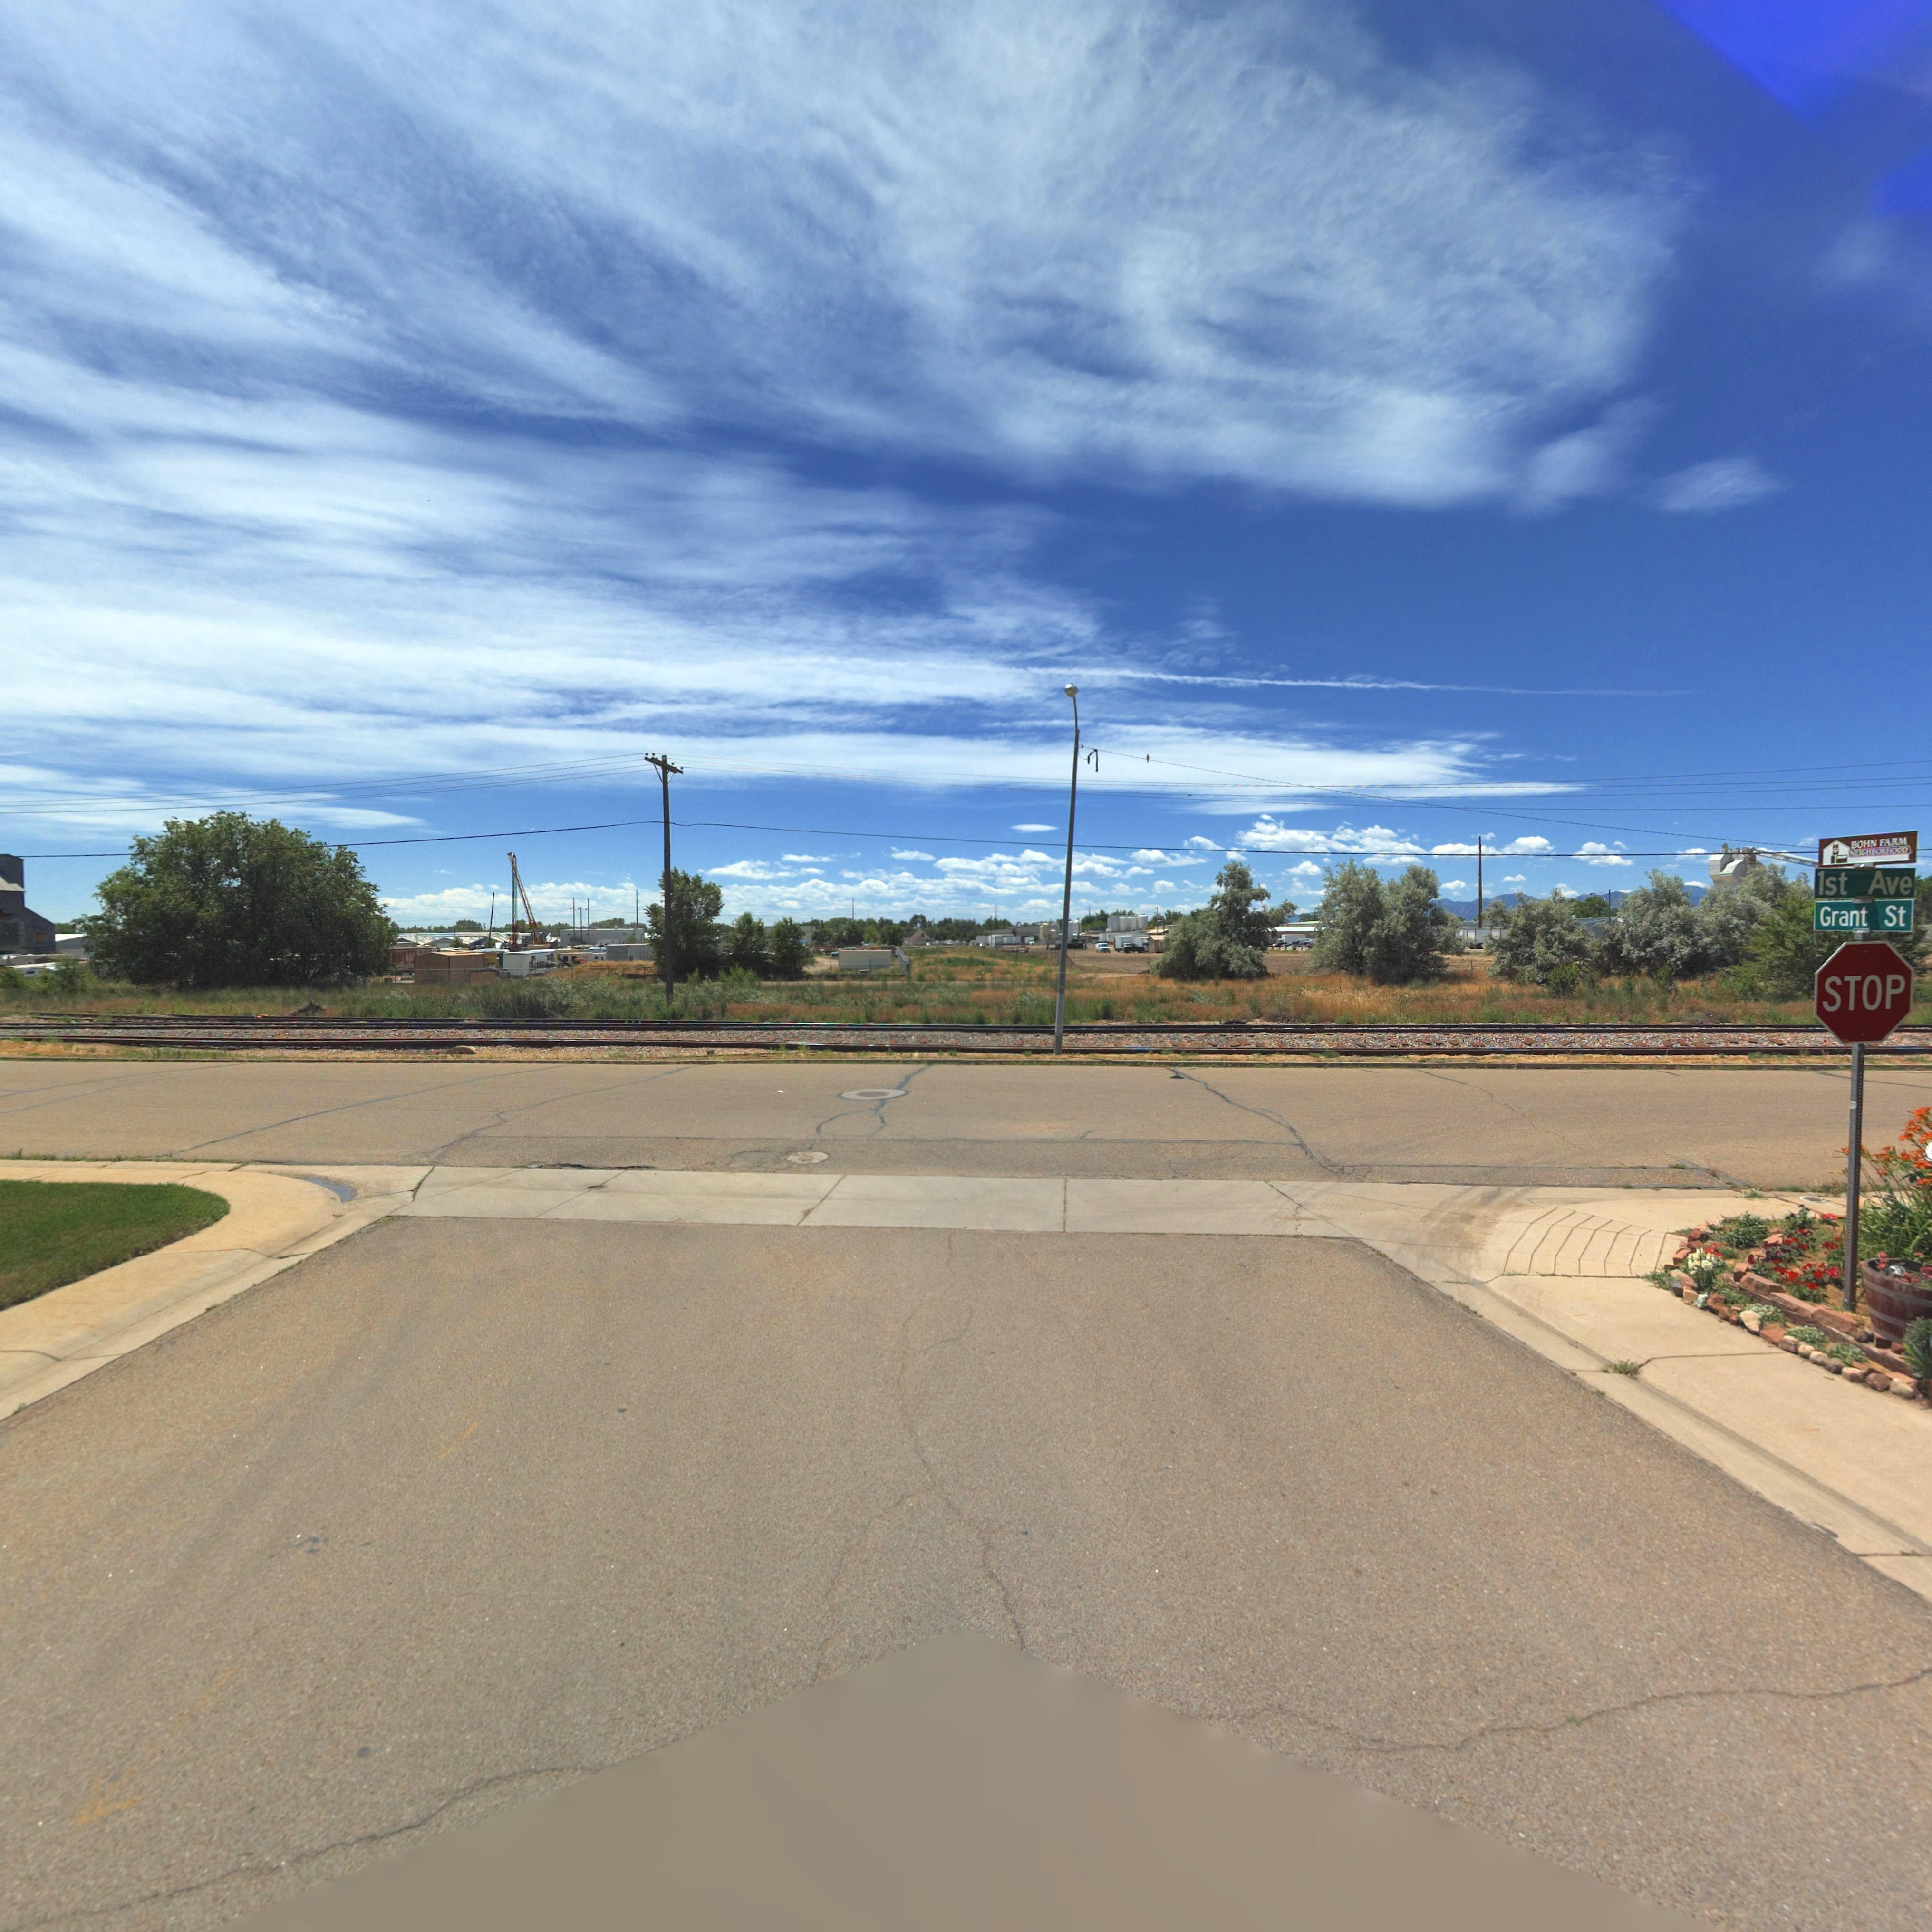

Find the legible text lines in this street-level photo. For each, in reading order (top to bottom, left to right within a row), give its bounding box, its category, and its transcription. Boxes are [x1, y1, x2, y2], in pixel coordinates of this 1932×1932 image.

[1816, 869, 1913, 897] StreetName: 1st Ave
[1819, 905, 1907, 928] StreetName: Grant St